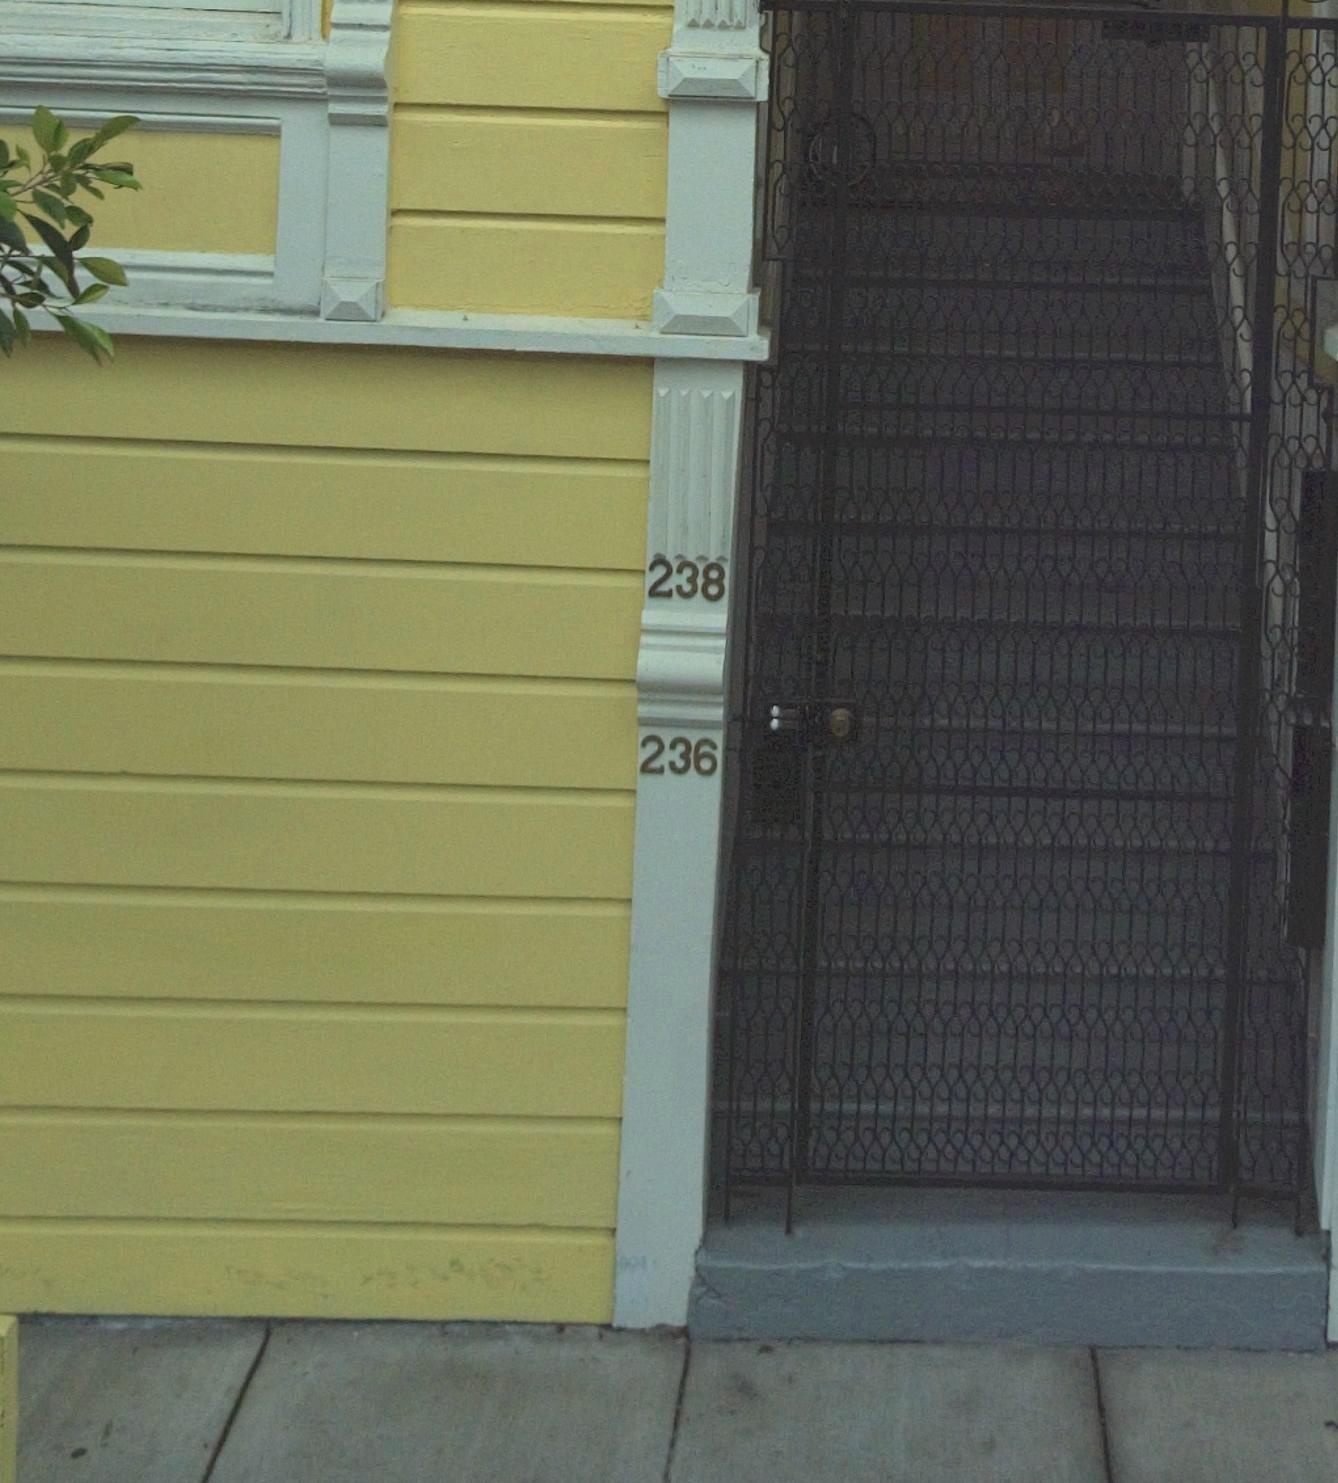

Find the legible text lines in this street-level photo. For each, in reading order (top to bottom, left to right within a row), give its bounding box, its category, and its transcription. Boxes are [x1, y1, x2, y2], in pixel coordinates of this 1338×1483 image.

[646, 555, 727, 605] StreetNumber: 238
[637, 730, 722, 780] StreetNumber: 236